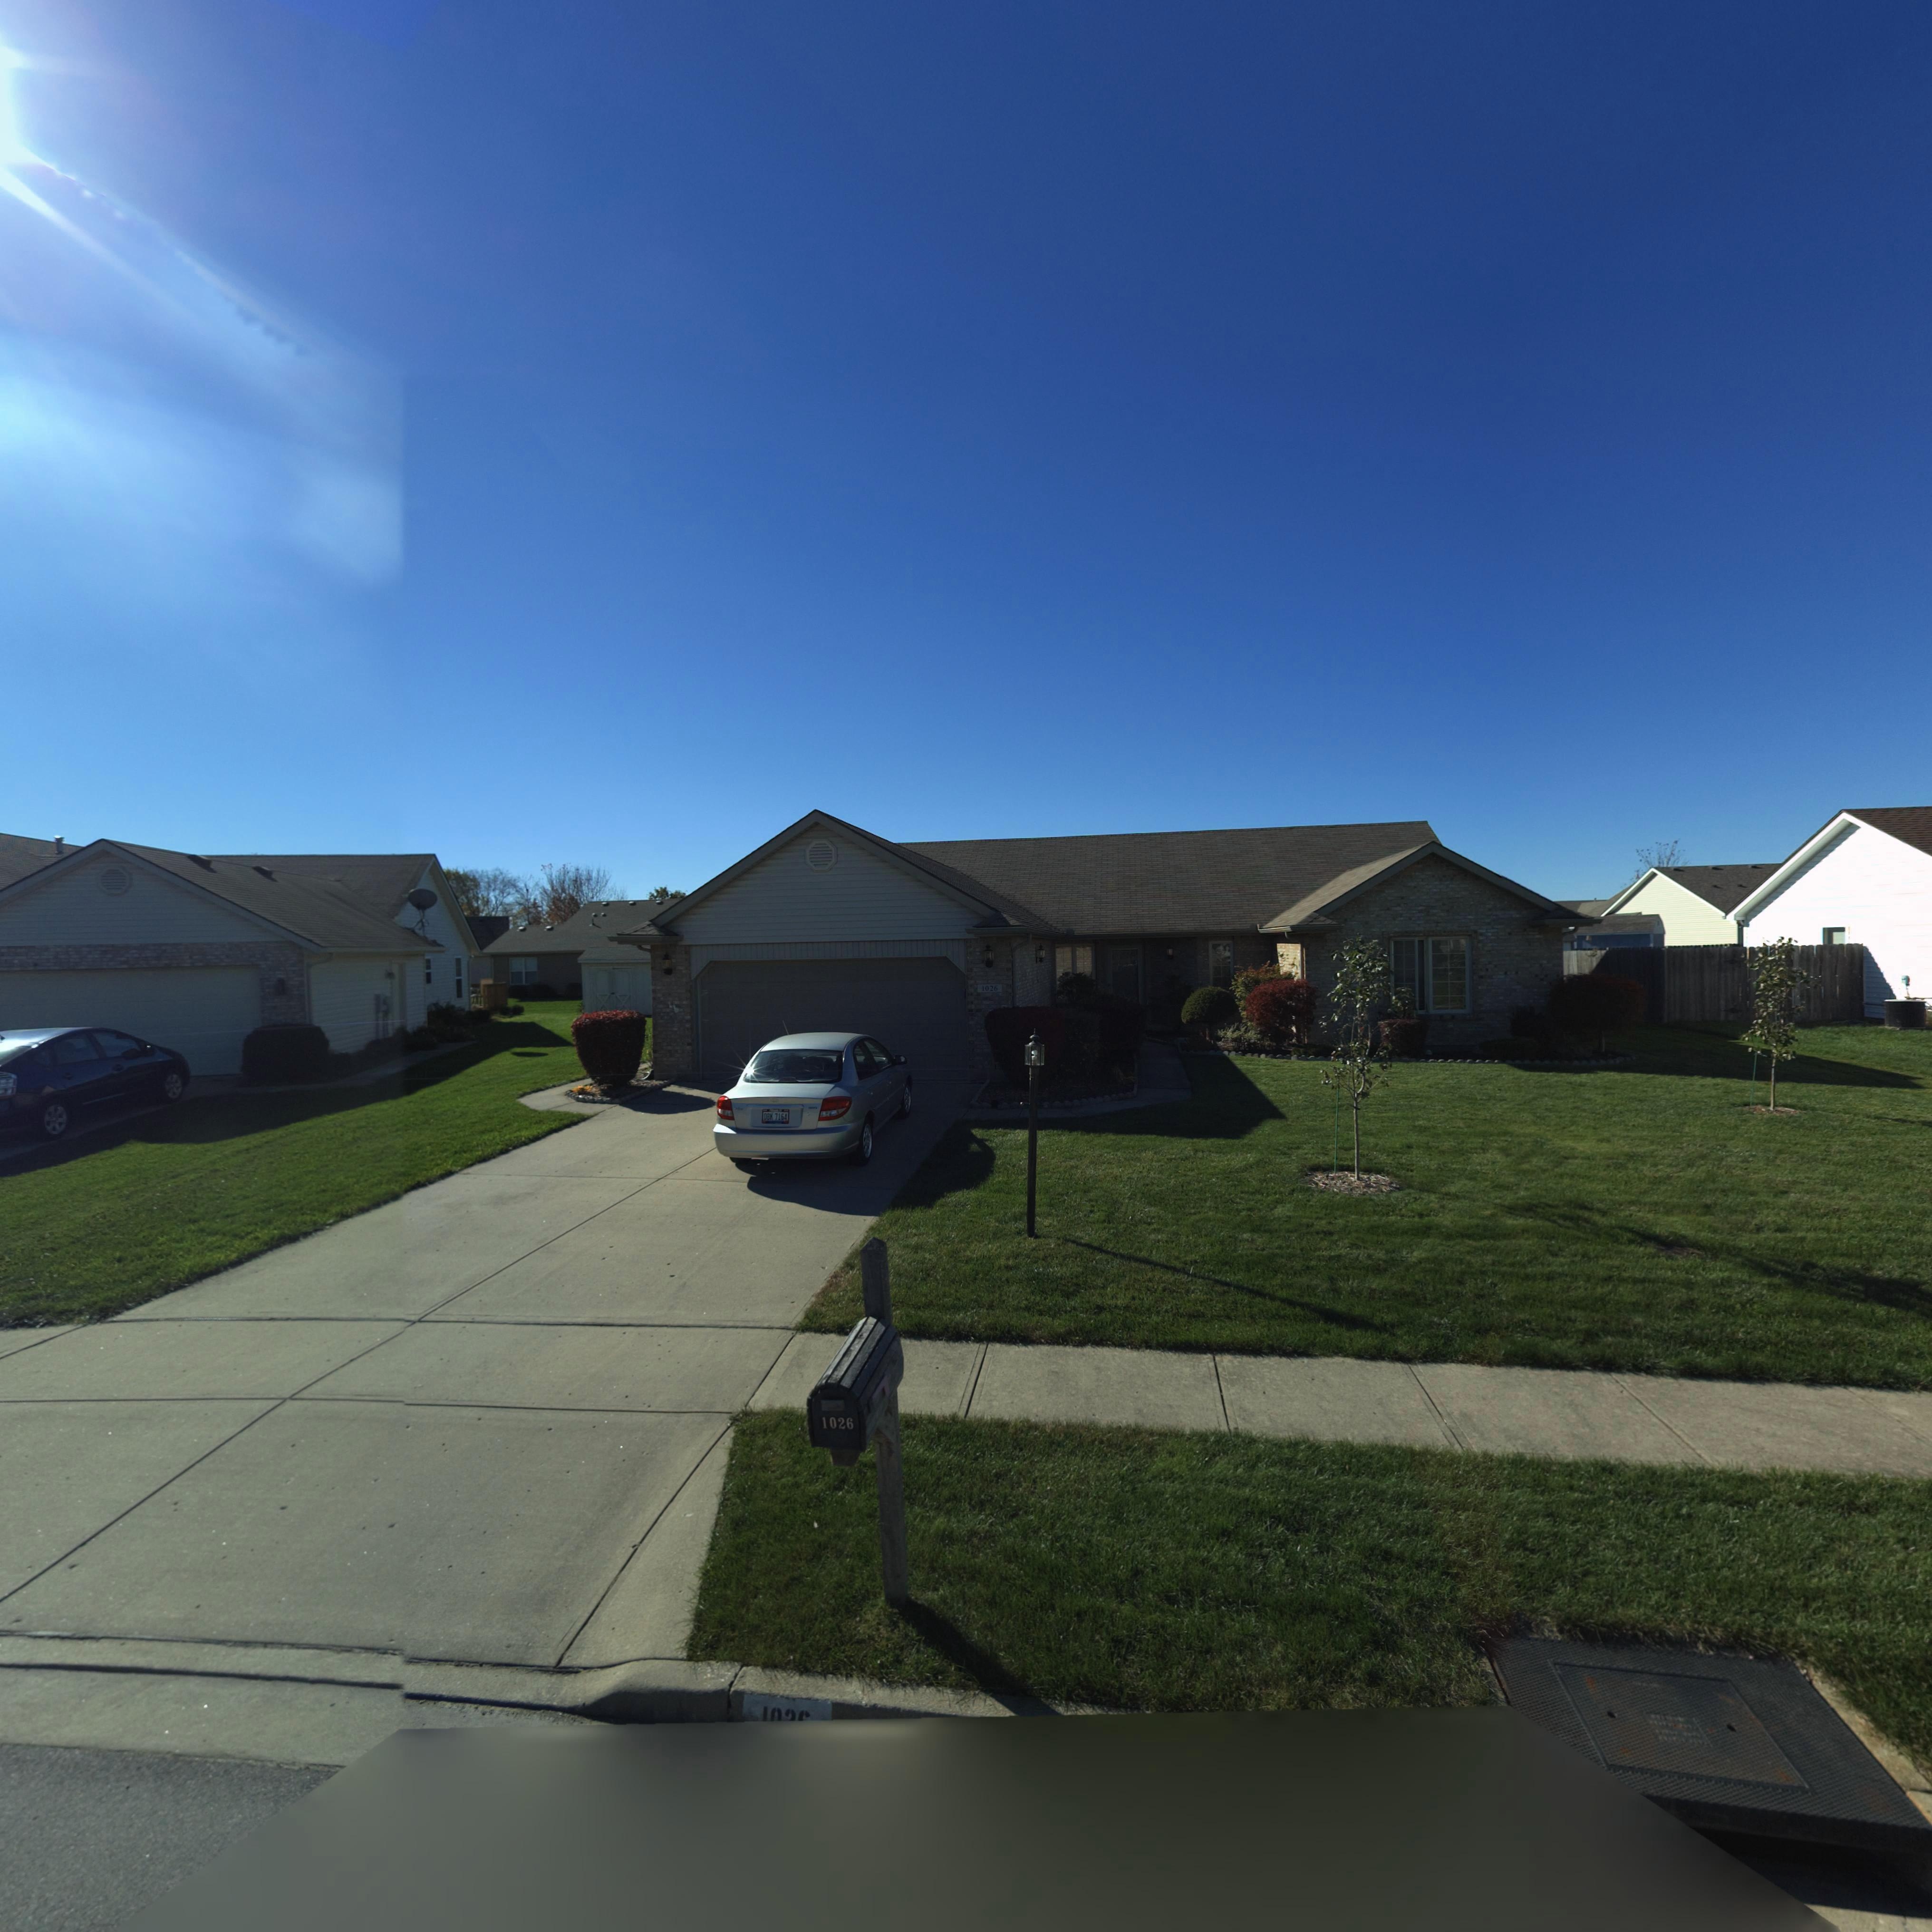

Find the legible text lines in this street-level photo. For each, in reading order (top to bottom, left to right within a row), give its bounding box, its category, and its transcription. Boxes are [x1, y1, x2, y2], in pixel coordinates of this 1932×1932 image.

[981, 985, 998, 992] StreetNumber: 1026
[820, 1415, 855, 1431] StreetNumber: 1026